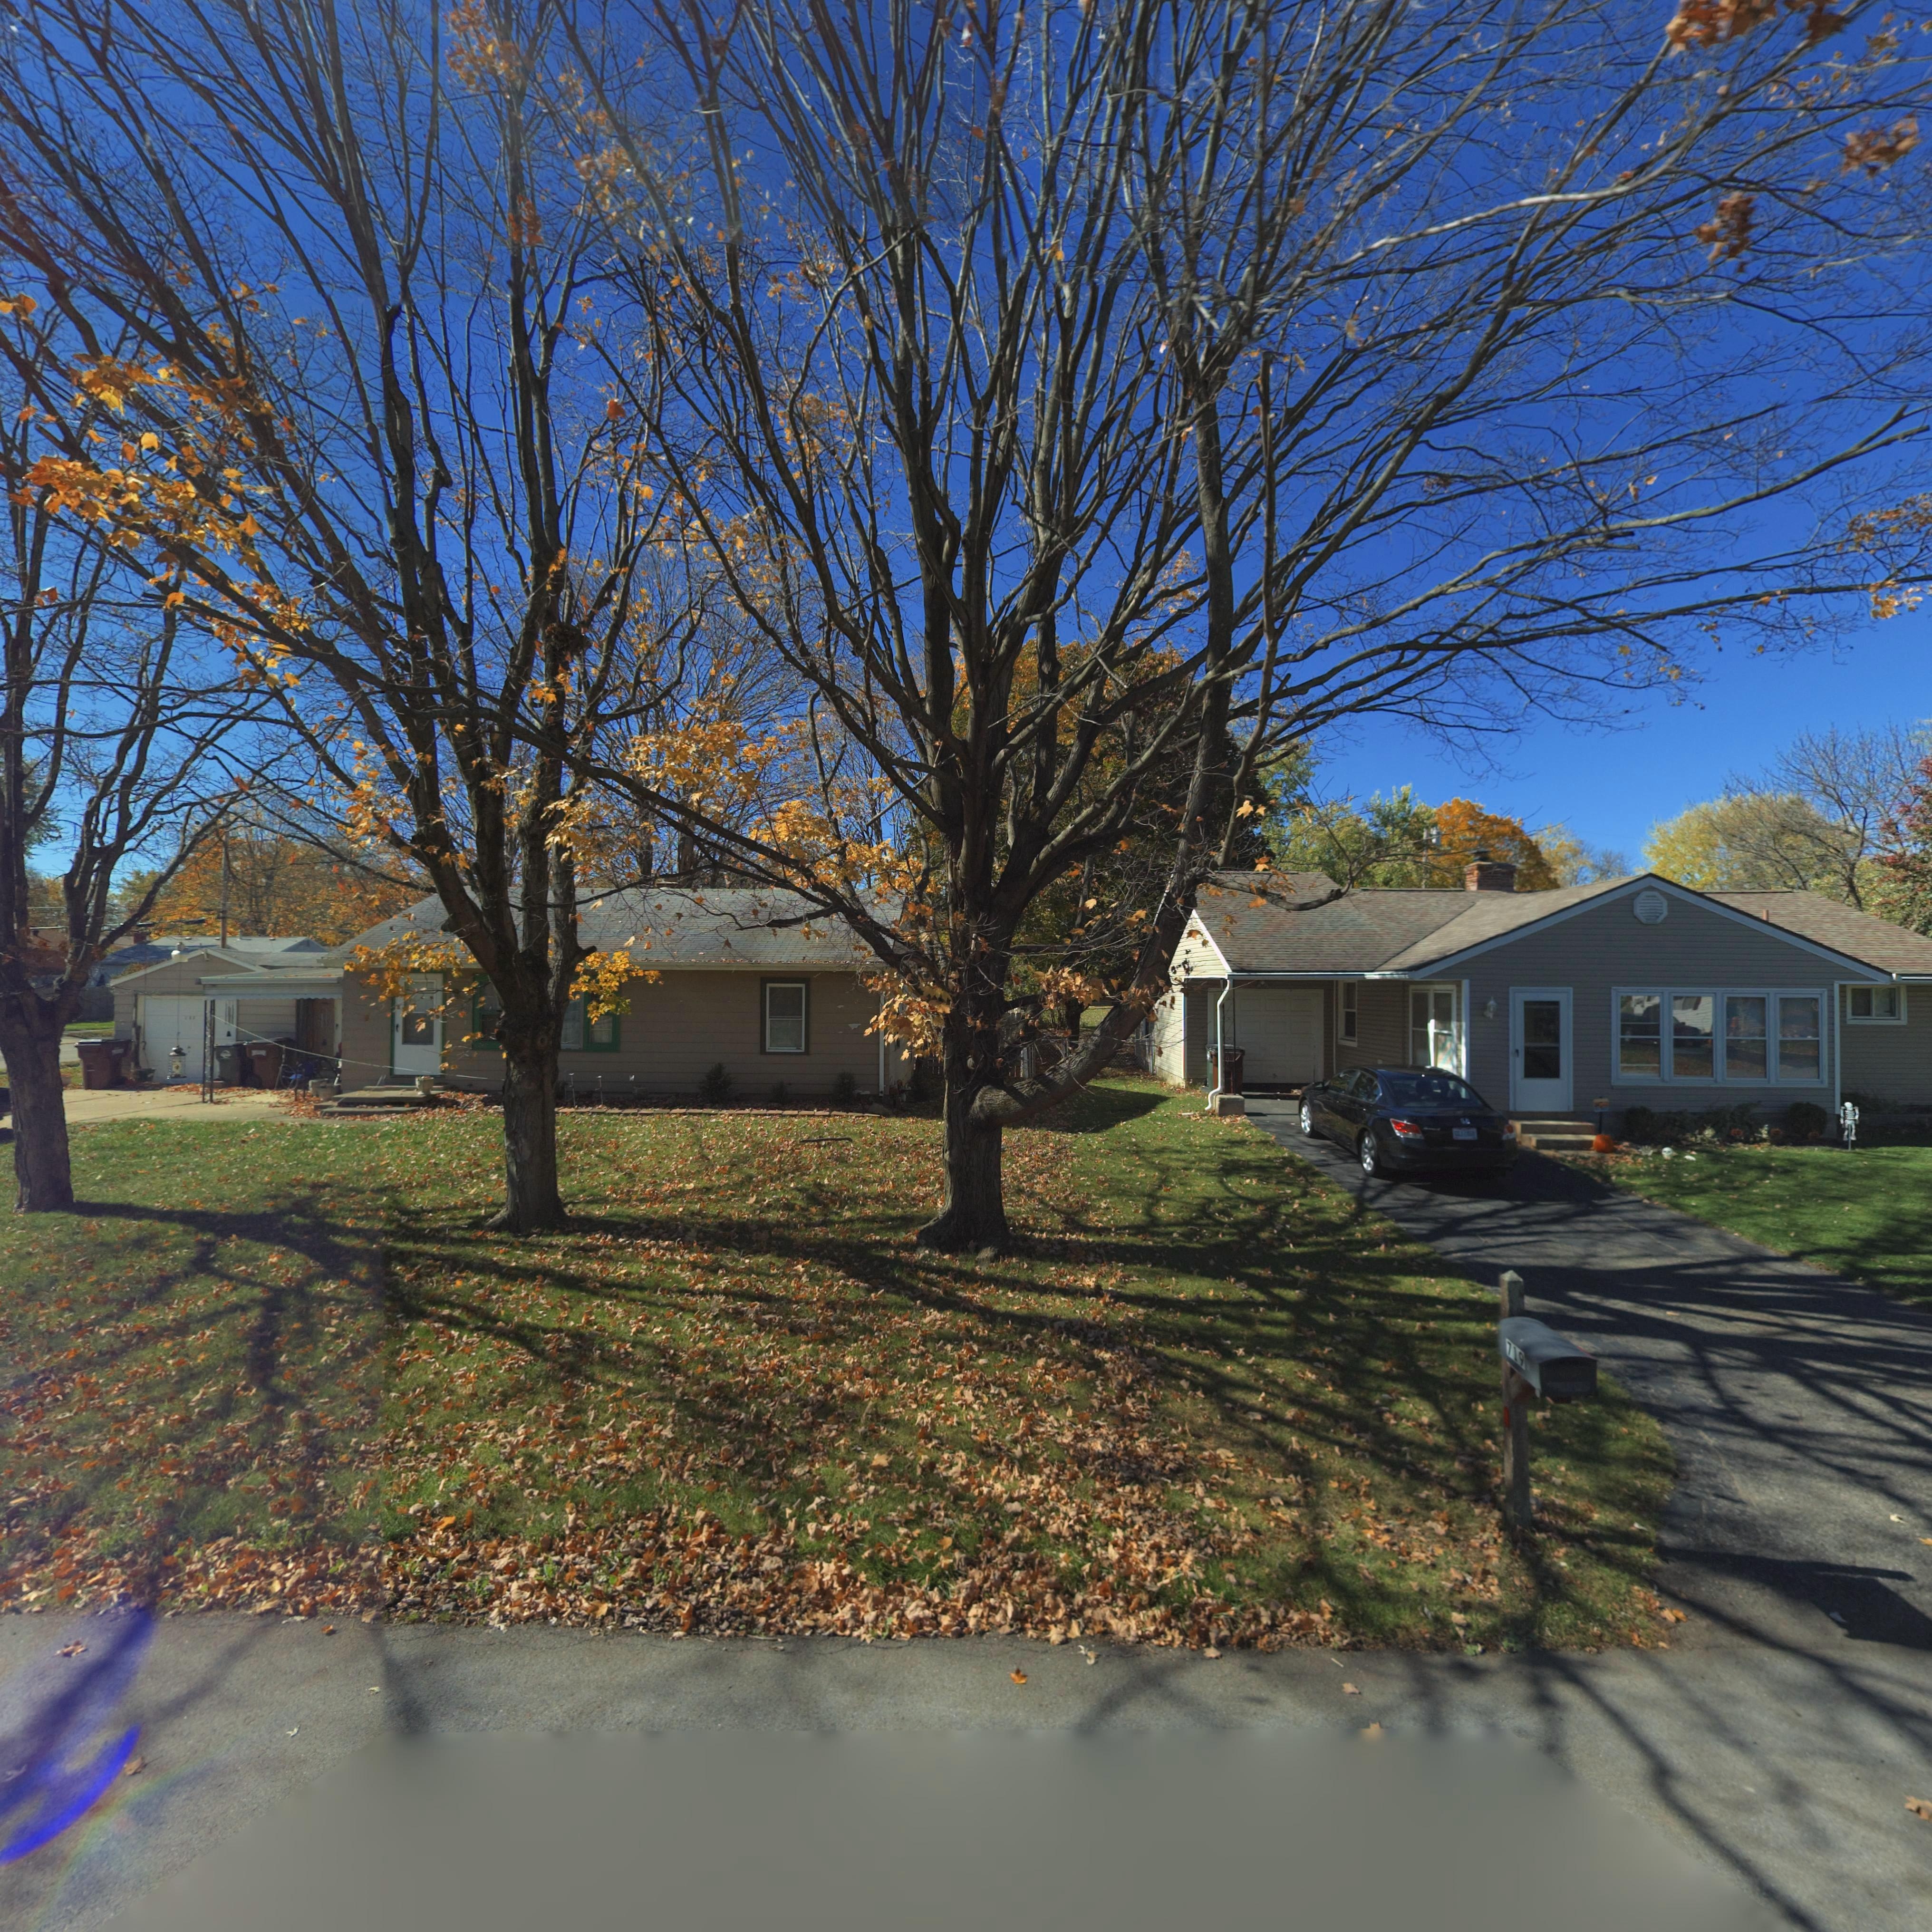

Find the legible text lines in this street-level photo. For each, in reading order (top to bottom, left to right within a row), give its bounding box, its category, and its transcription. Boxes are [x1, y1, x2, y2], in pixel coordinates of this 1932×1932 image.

[1506, 1340, 1525, 1369] StreetNumber: 719